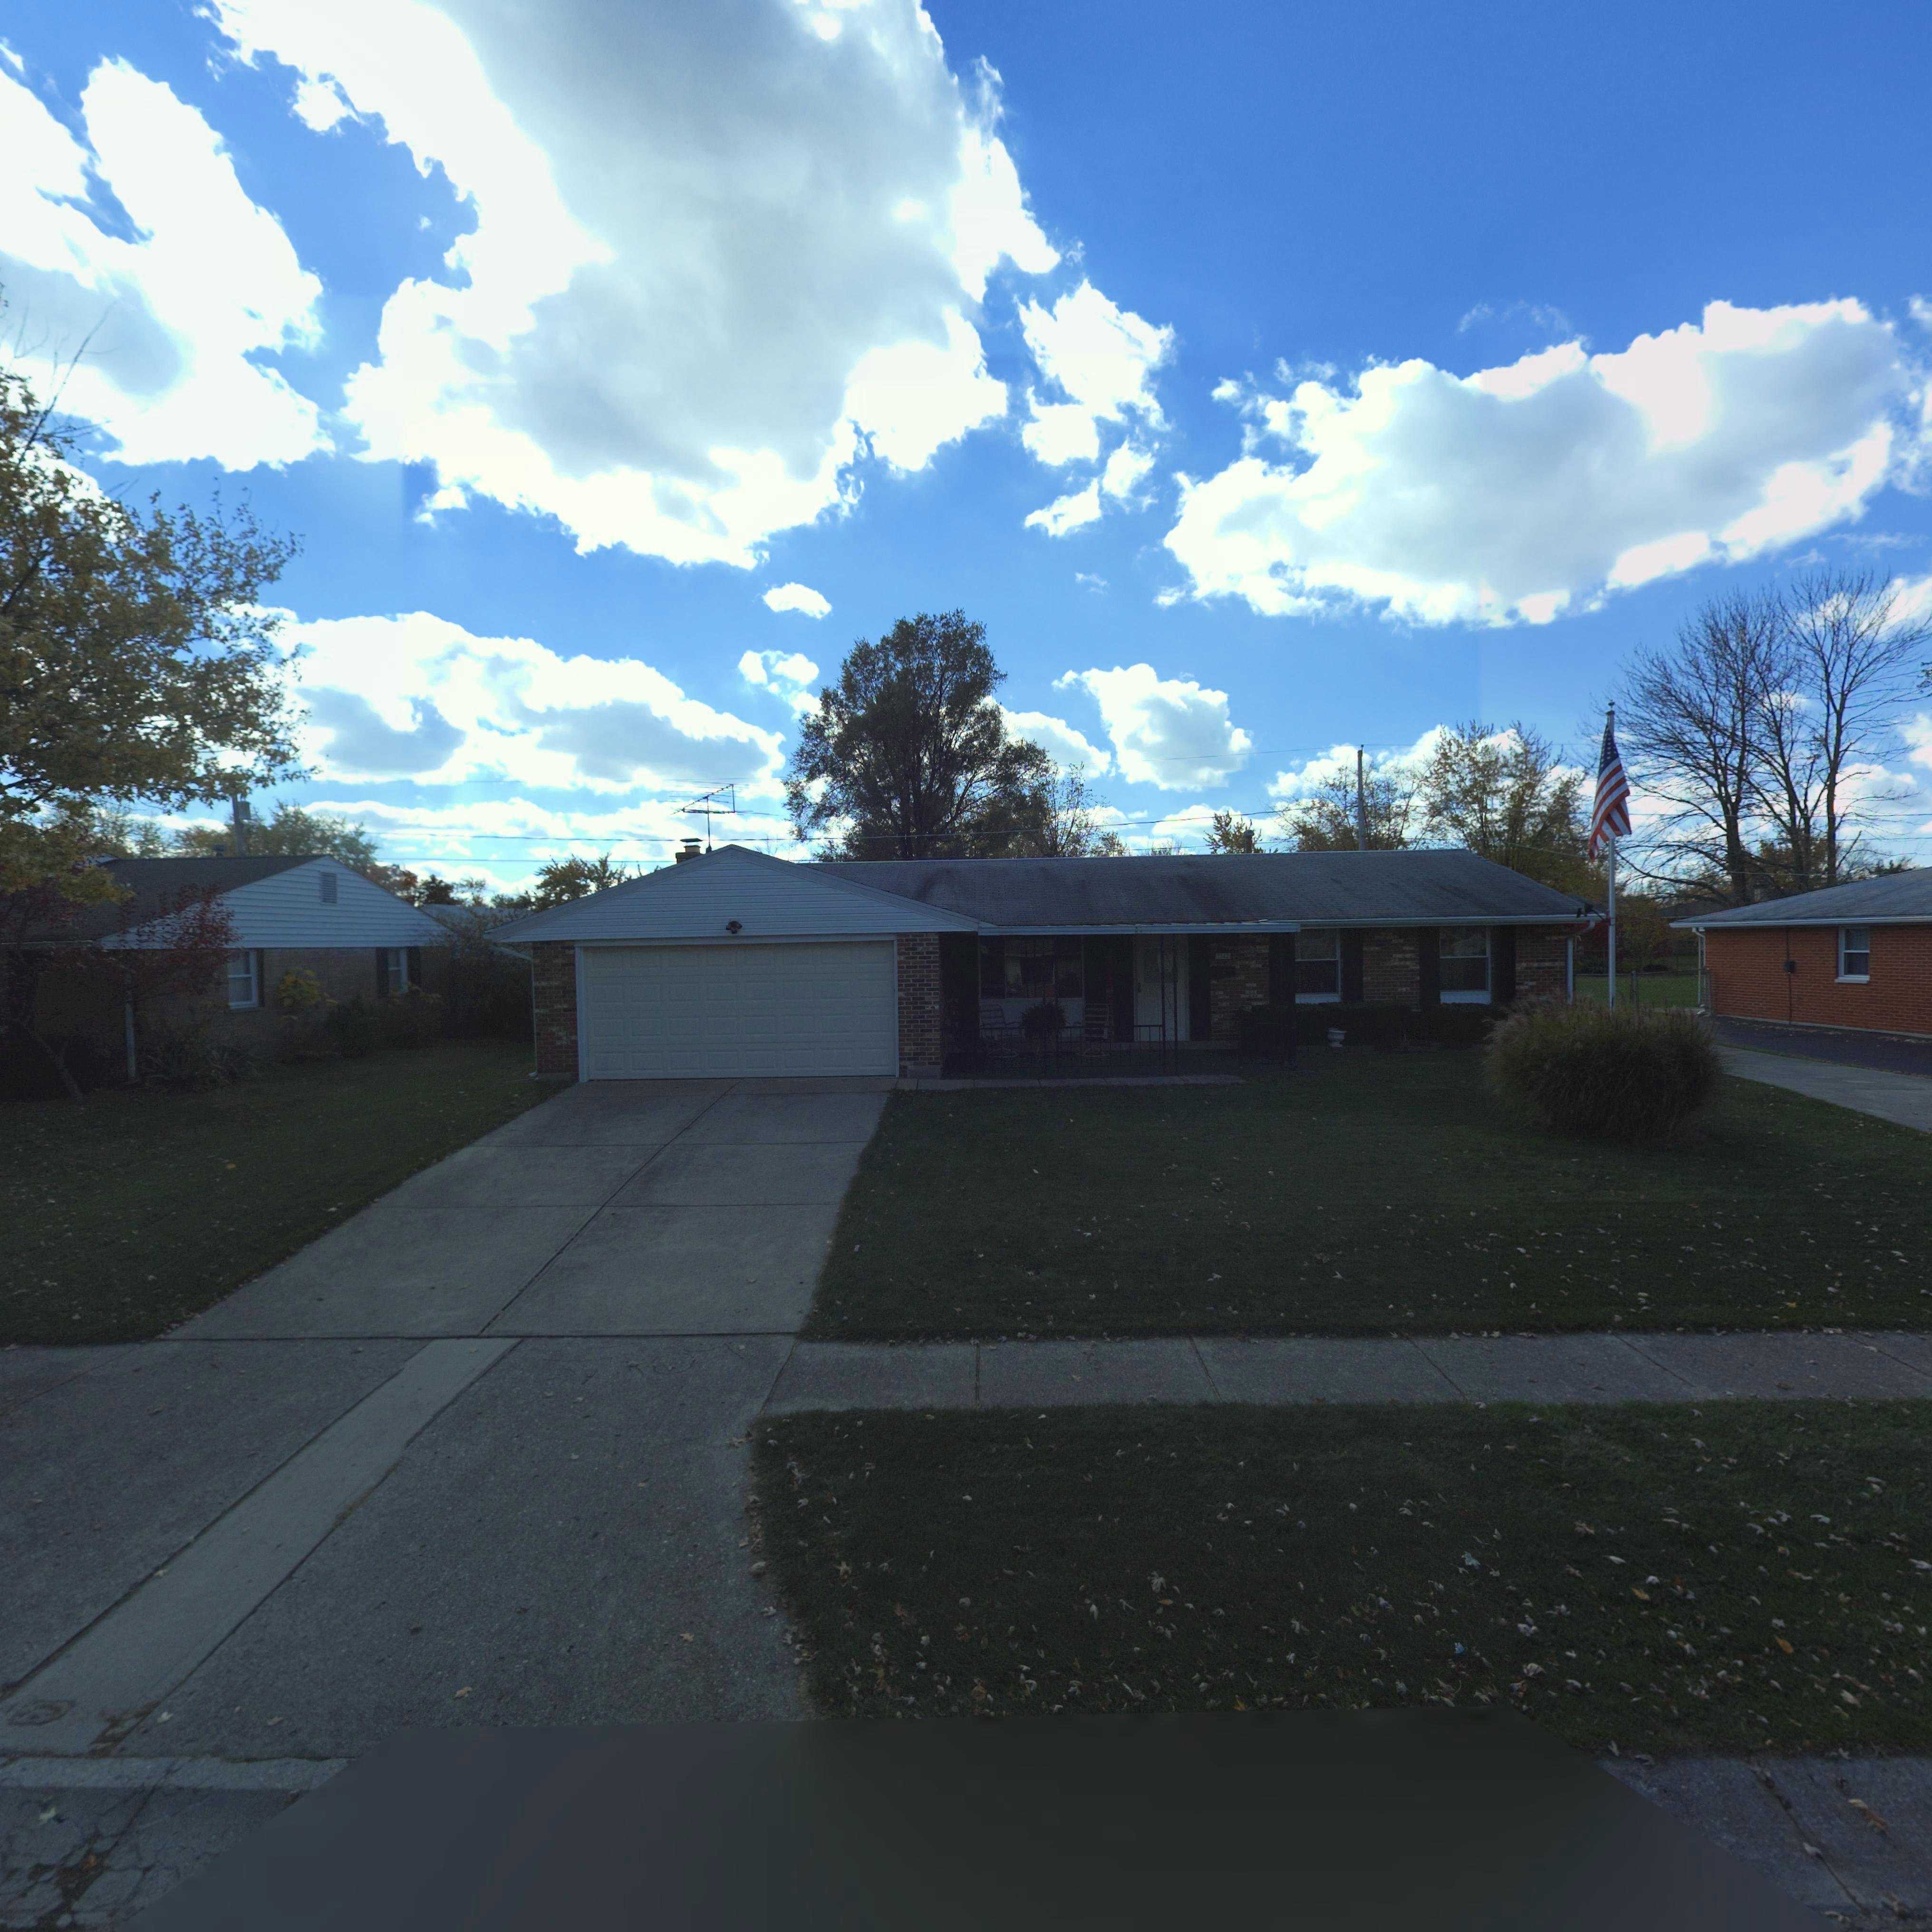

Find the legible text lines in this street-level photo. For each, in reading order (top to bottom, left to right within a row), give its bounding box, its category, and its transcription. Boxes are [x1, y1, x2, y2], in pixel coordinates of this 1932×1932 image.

[1217, 953, 1229, 959] StreetNumber: 7842